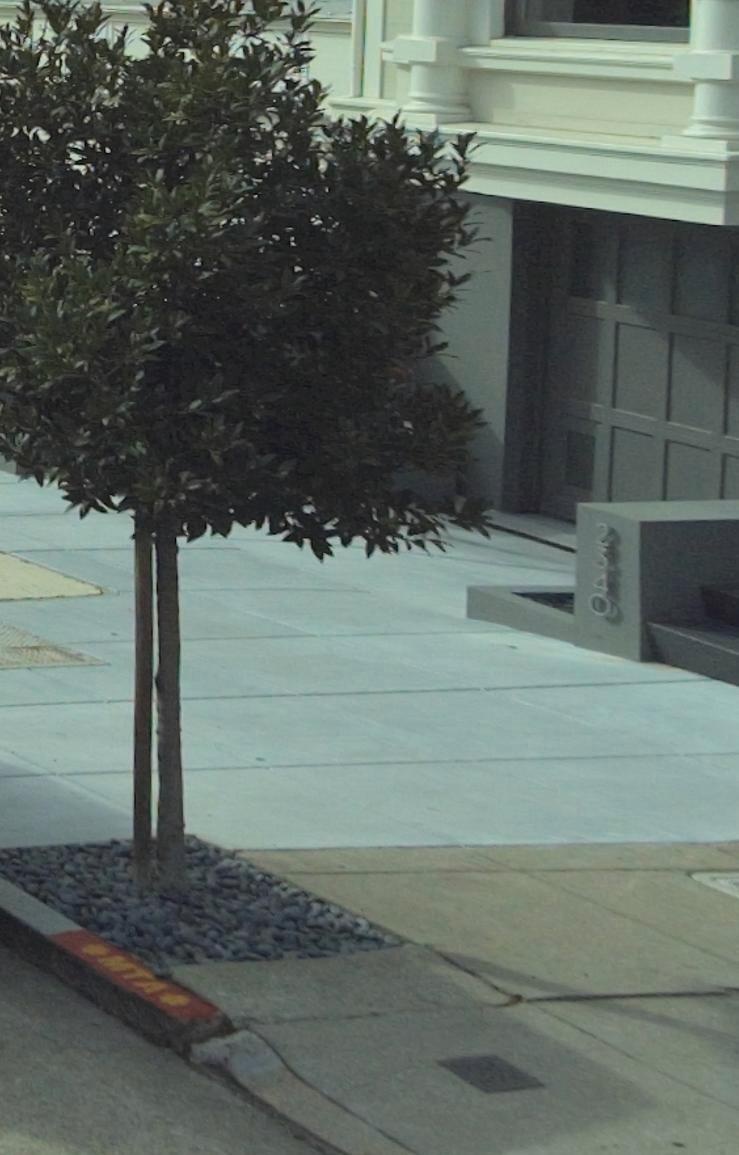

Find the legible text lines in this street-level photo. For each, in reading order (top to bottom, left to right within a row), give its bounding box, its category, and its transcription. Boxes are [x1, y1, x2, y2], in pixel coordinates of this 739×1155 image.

[585, 520, 613, 618] StreetNumber: 2340